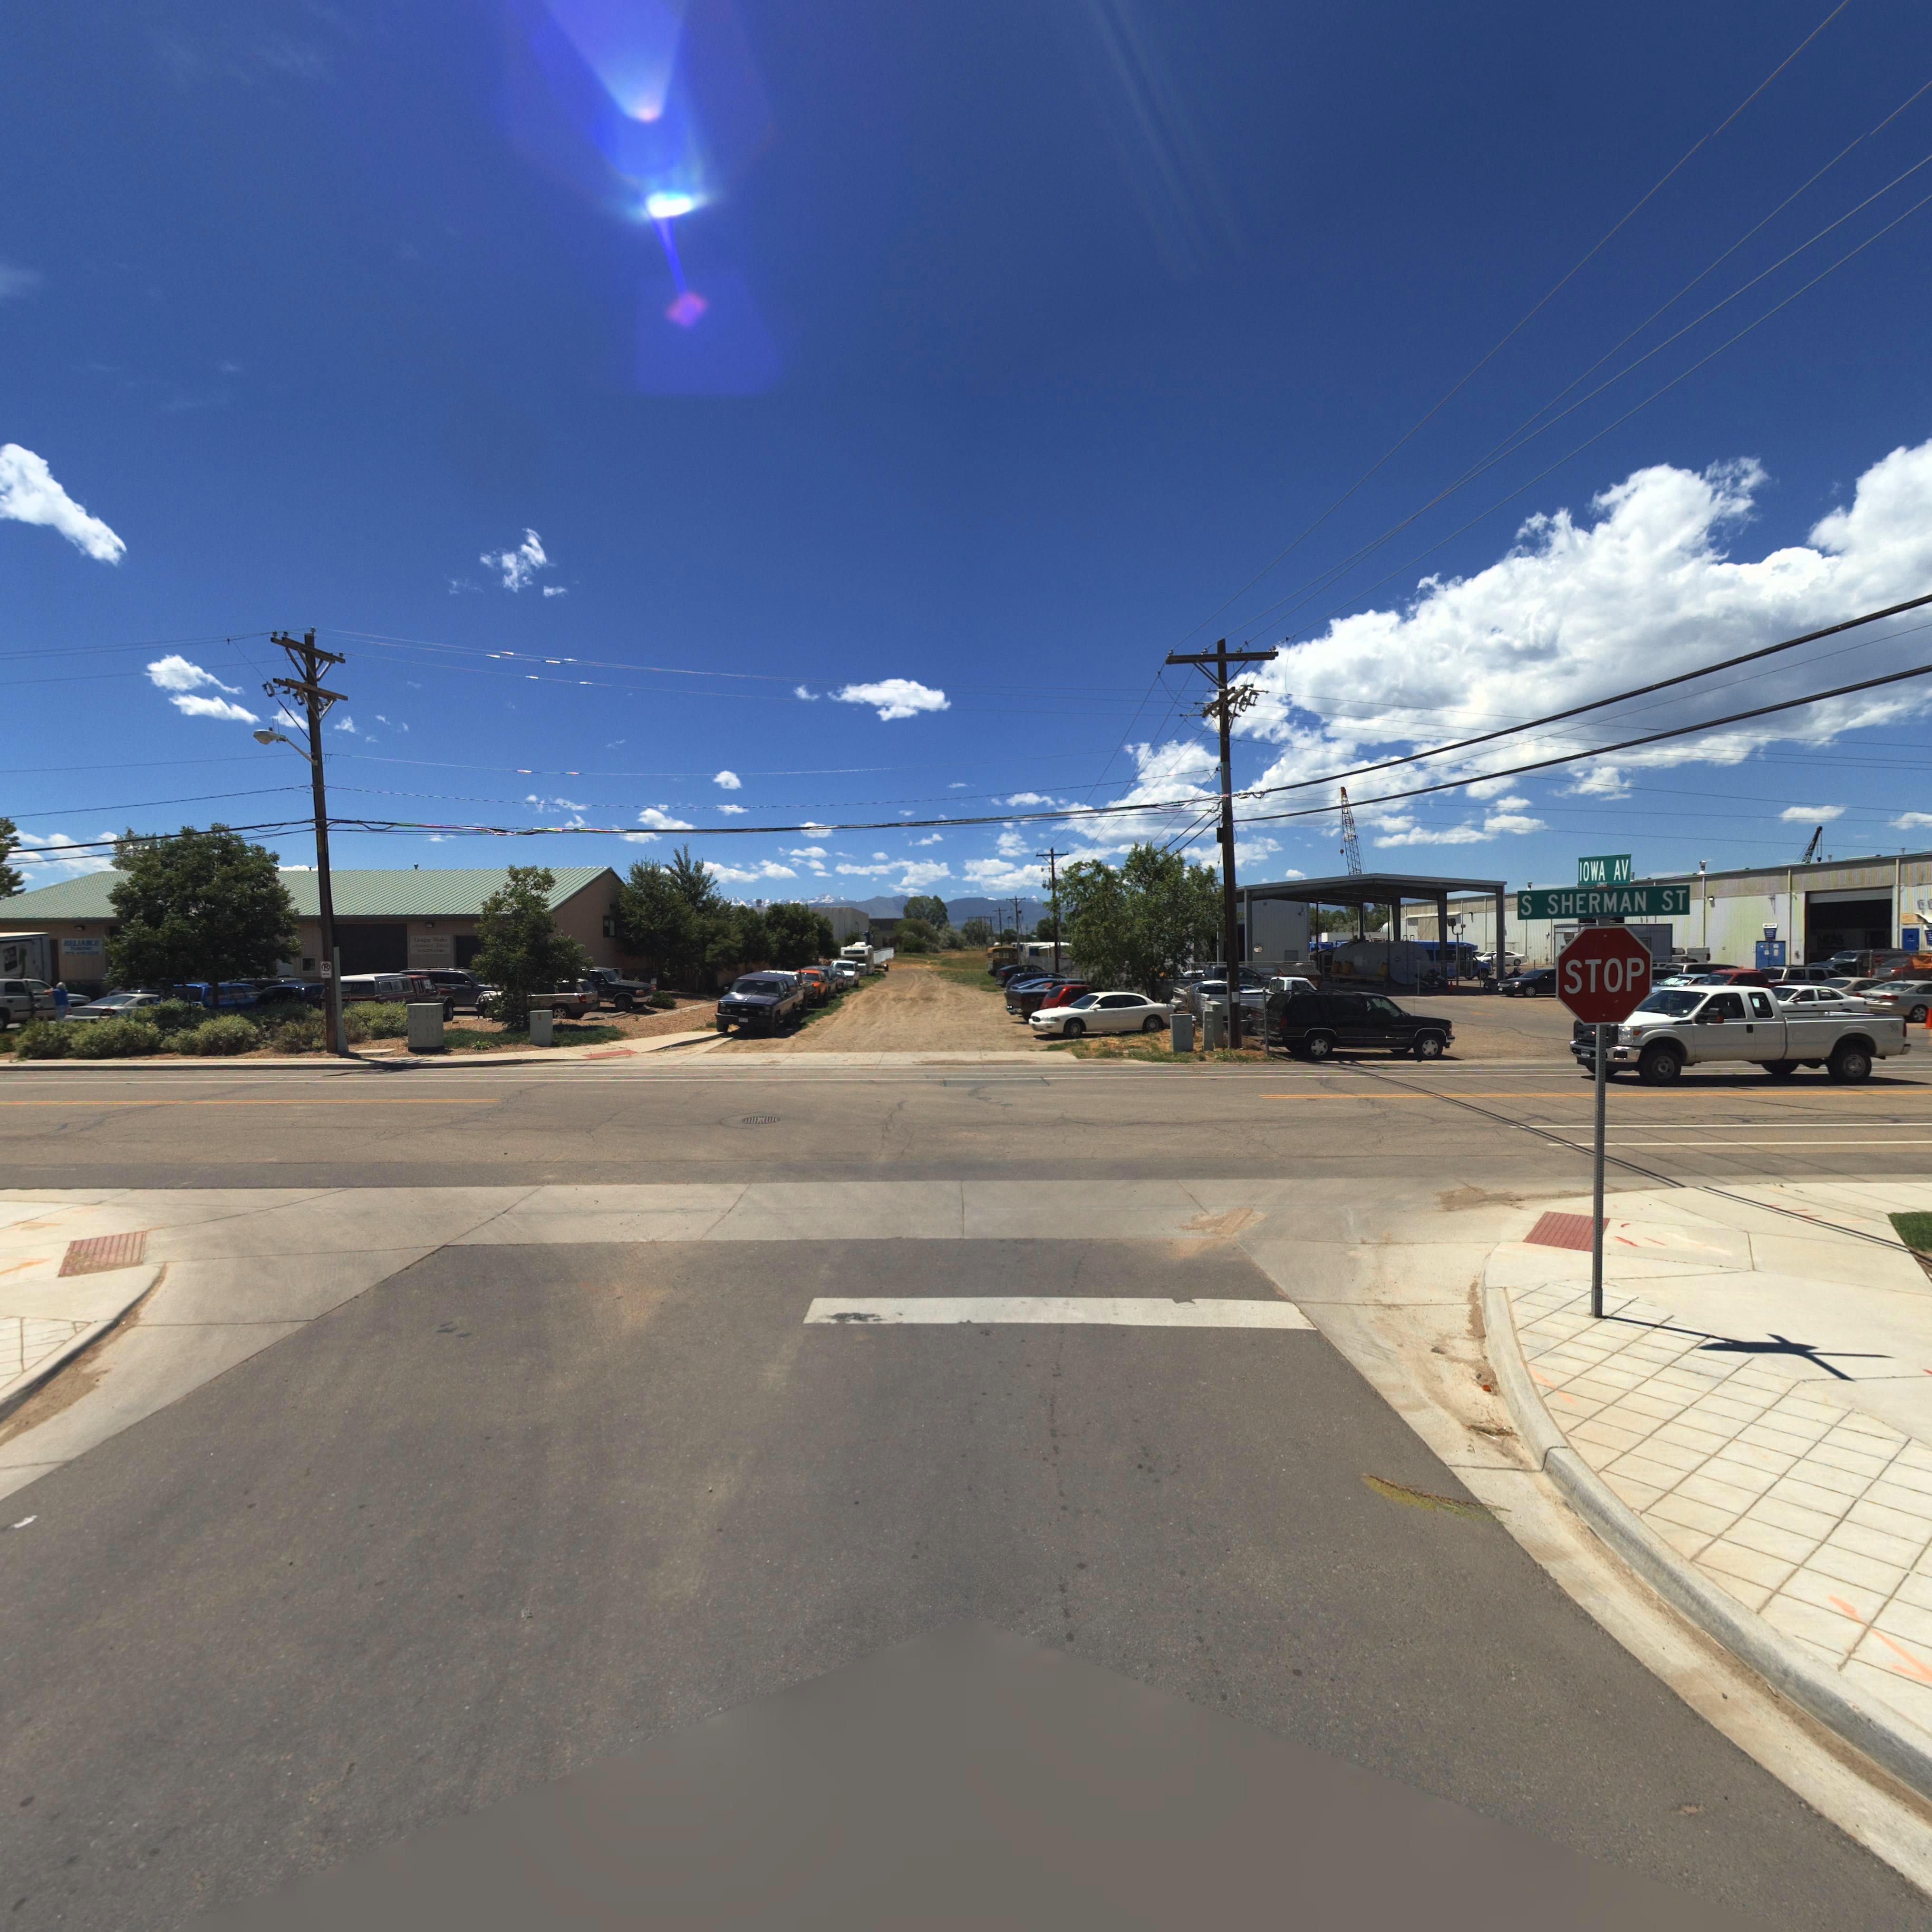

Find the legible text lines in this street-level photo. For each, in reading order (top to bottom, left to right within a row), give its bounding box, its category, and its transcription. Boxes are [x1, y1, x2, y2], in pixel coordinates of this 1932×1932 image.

[1579, 859, 1629, 881] StreetName: IOWA AV
[1520, 889, 1686, 916] StreetName: S SHERMAN ST
[1564, 957, 1645, 994] BusinessName: STOP